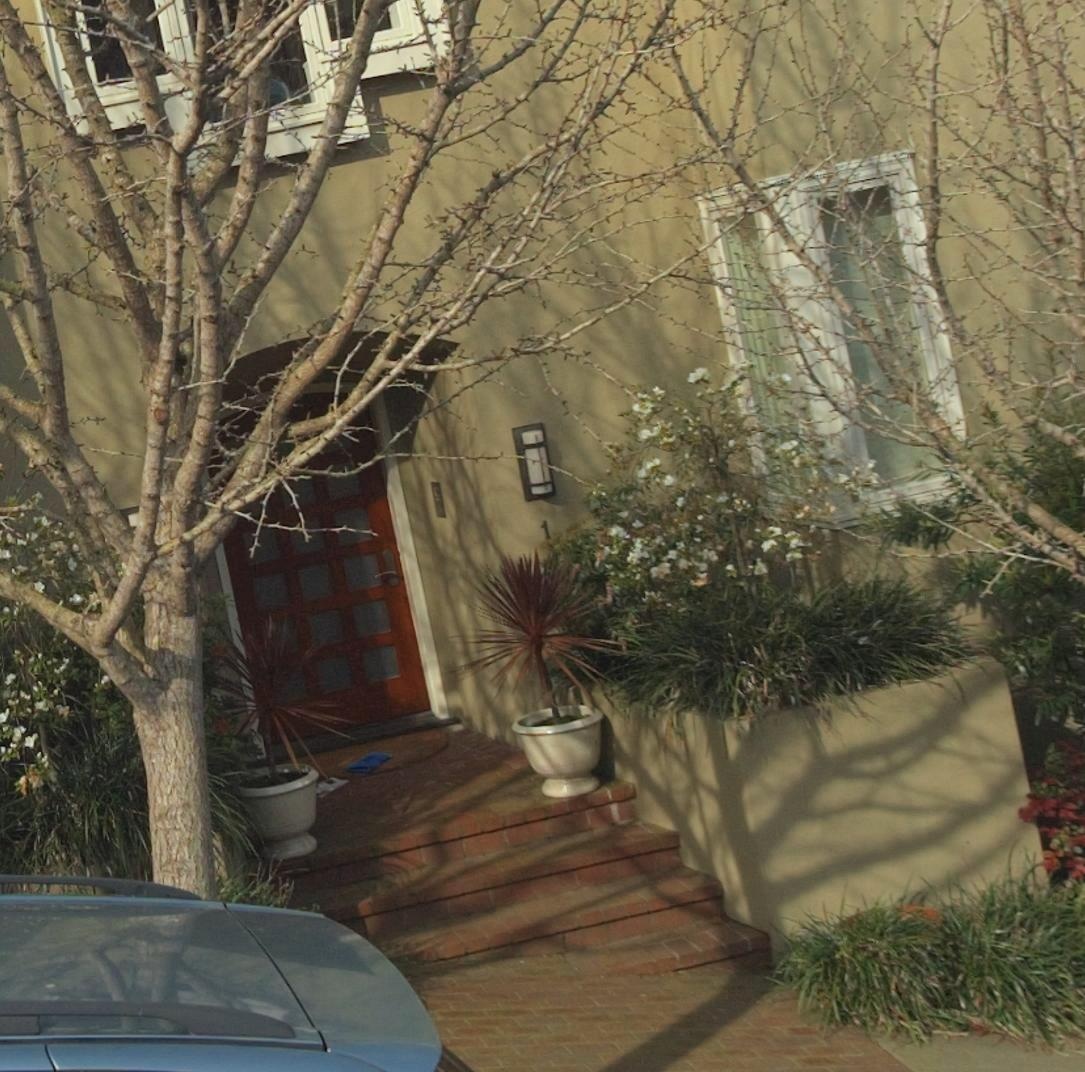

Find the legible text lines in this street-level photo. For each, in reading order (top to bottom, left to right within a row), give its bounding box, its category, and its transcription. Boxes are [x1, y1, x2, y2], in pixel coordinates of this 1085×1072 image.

[536, 516, 555, 544] StreetNumber: 1